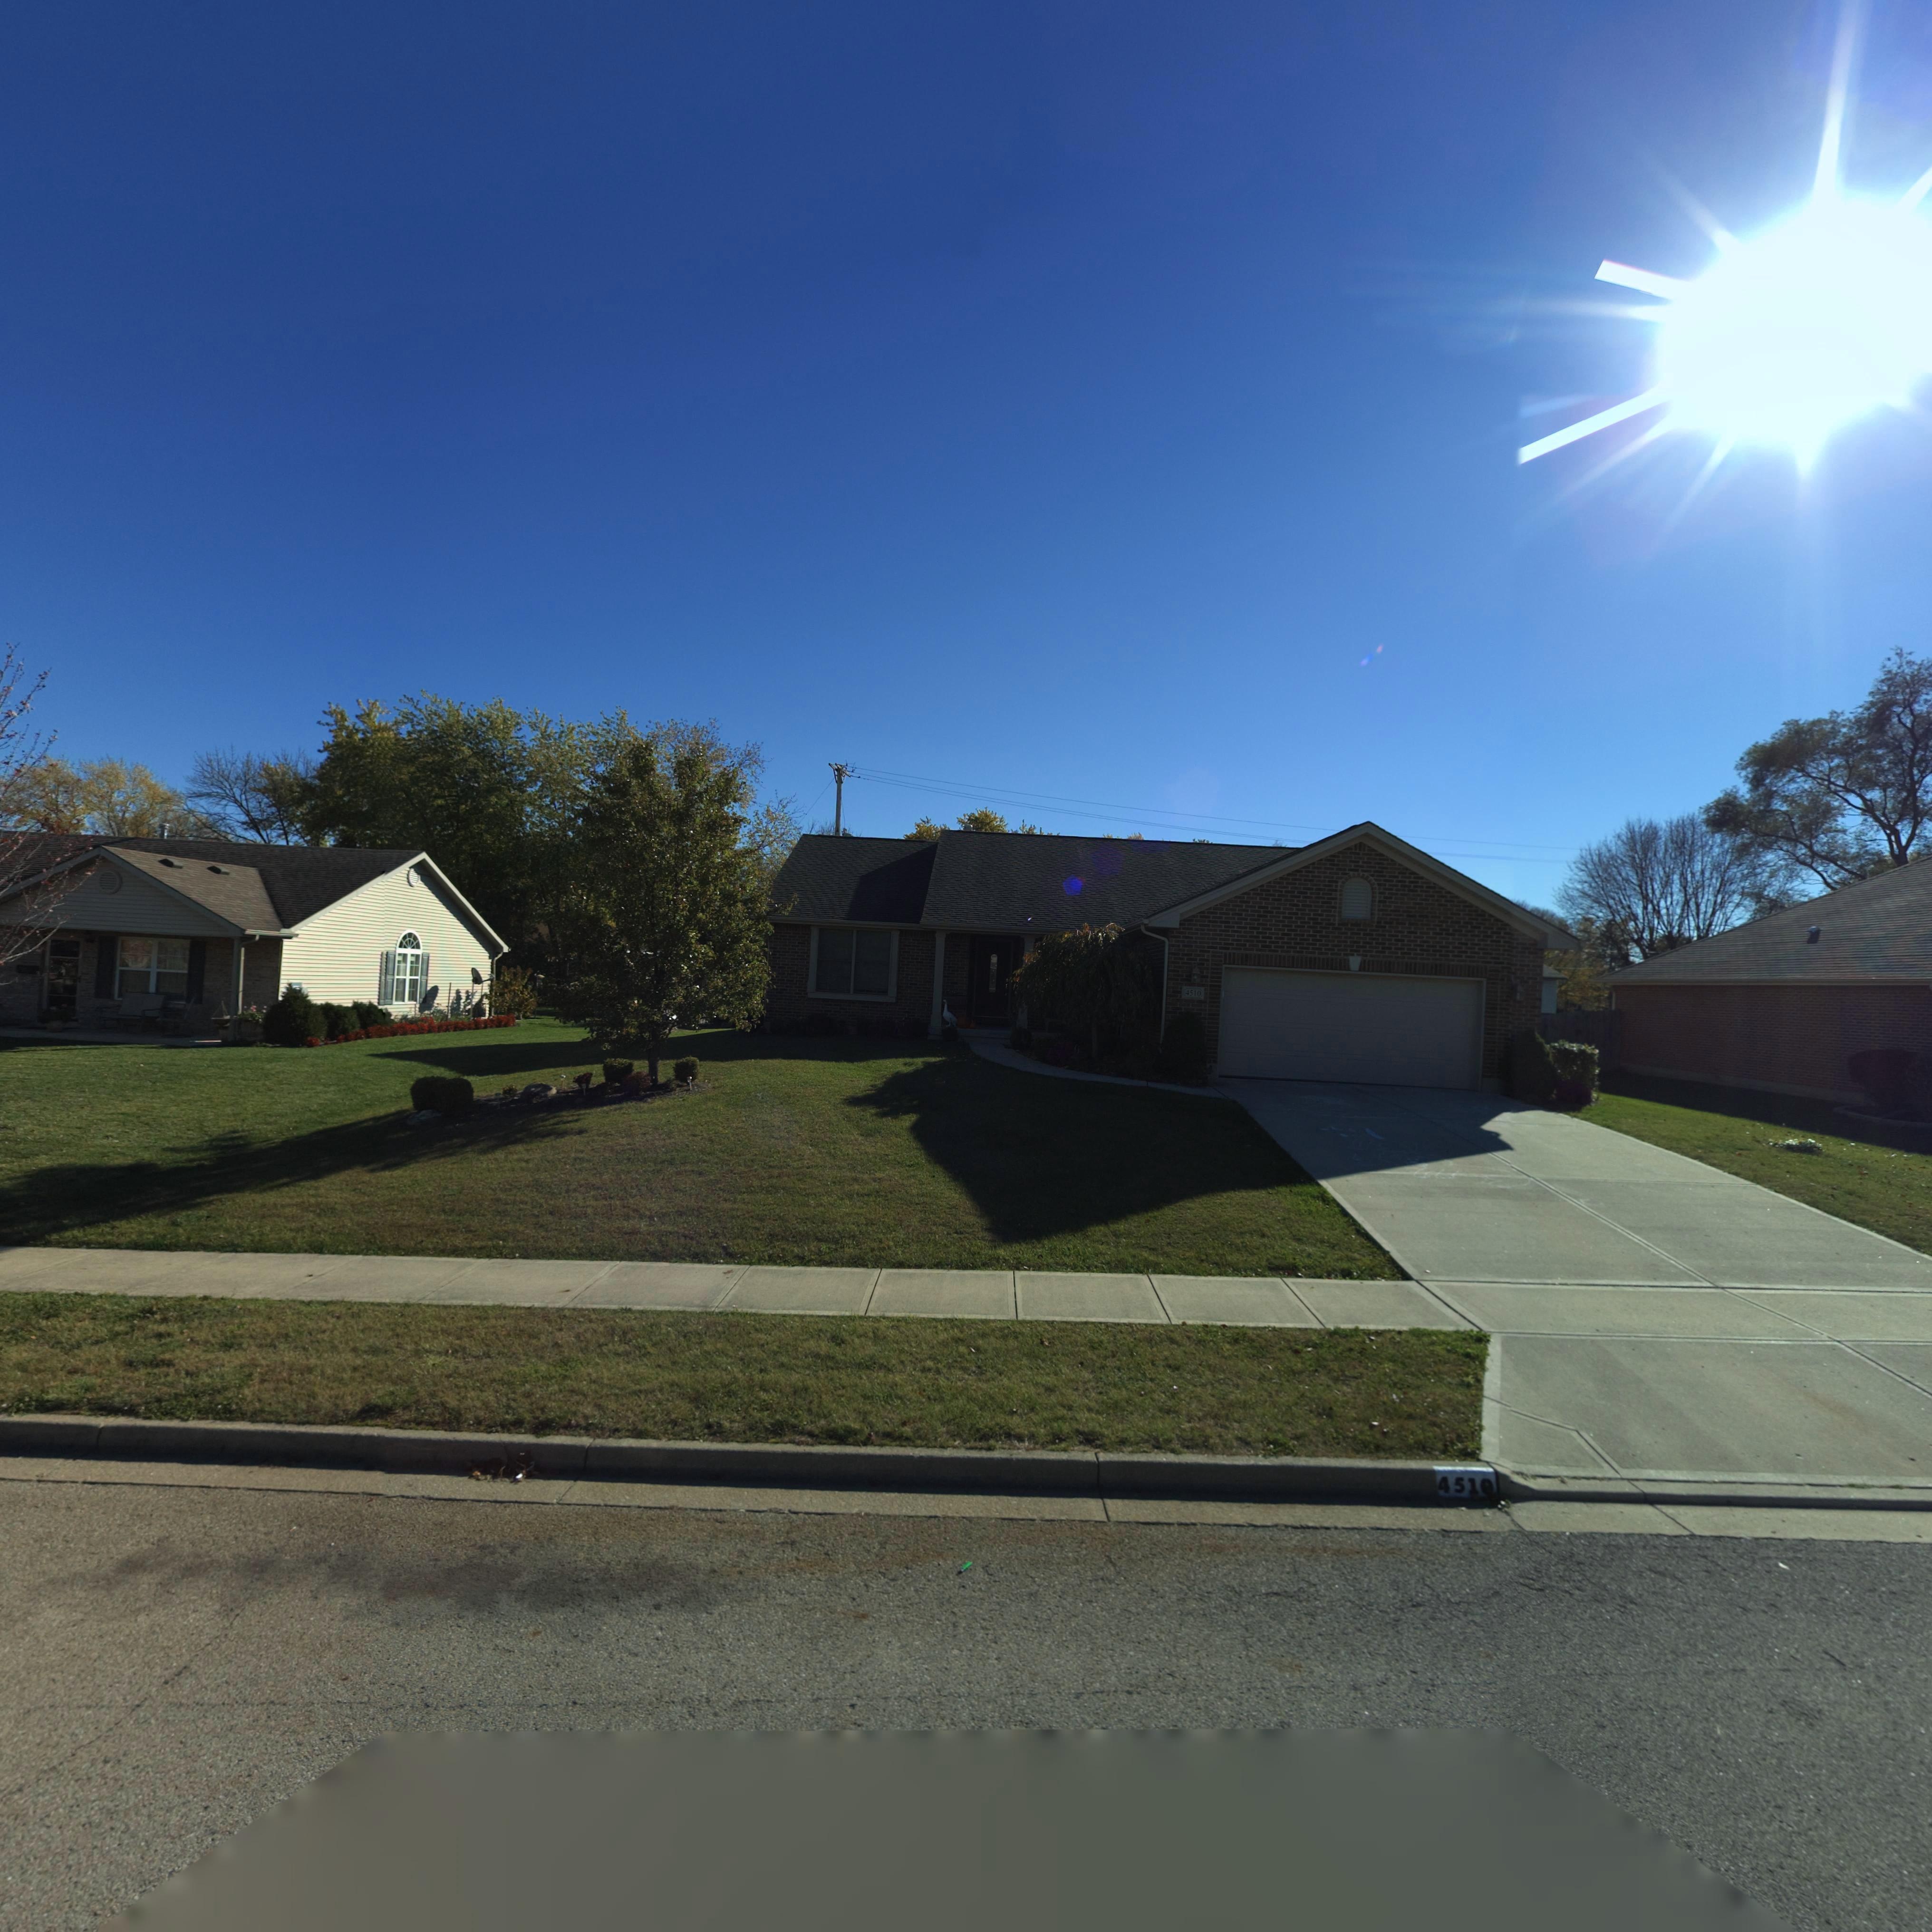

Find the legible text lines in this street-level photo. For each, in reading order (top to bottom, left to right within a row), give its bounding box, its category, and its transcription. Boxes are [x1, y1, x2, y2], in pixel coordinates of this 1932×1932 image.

[1184, 989, 1202, 998] StreetNumber: 4510
[1435, 1475, 1497, 1496] StreetNumber: 451*